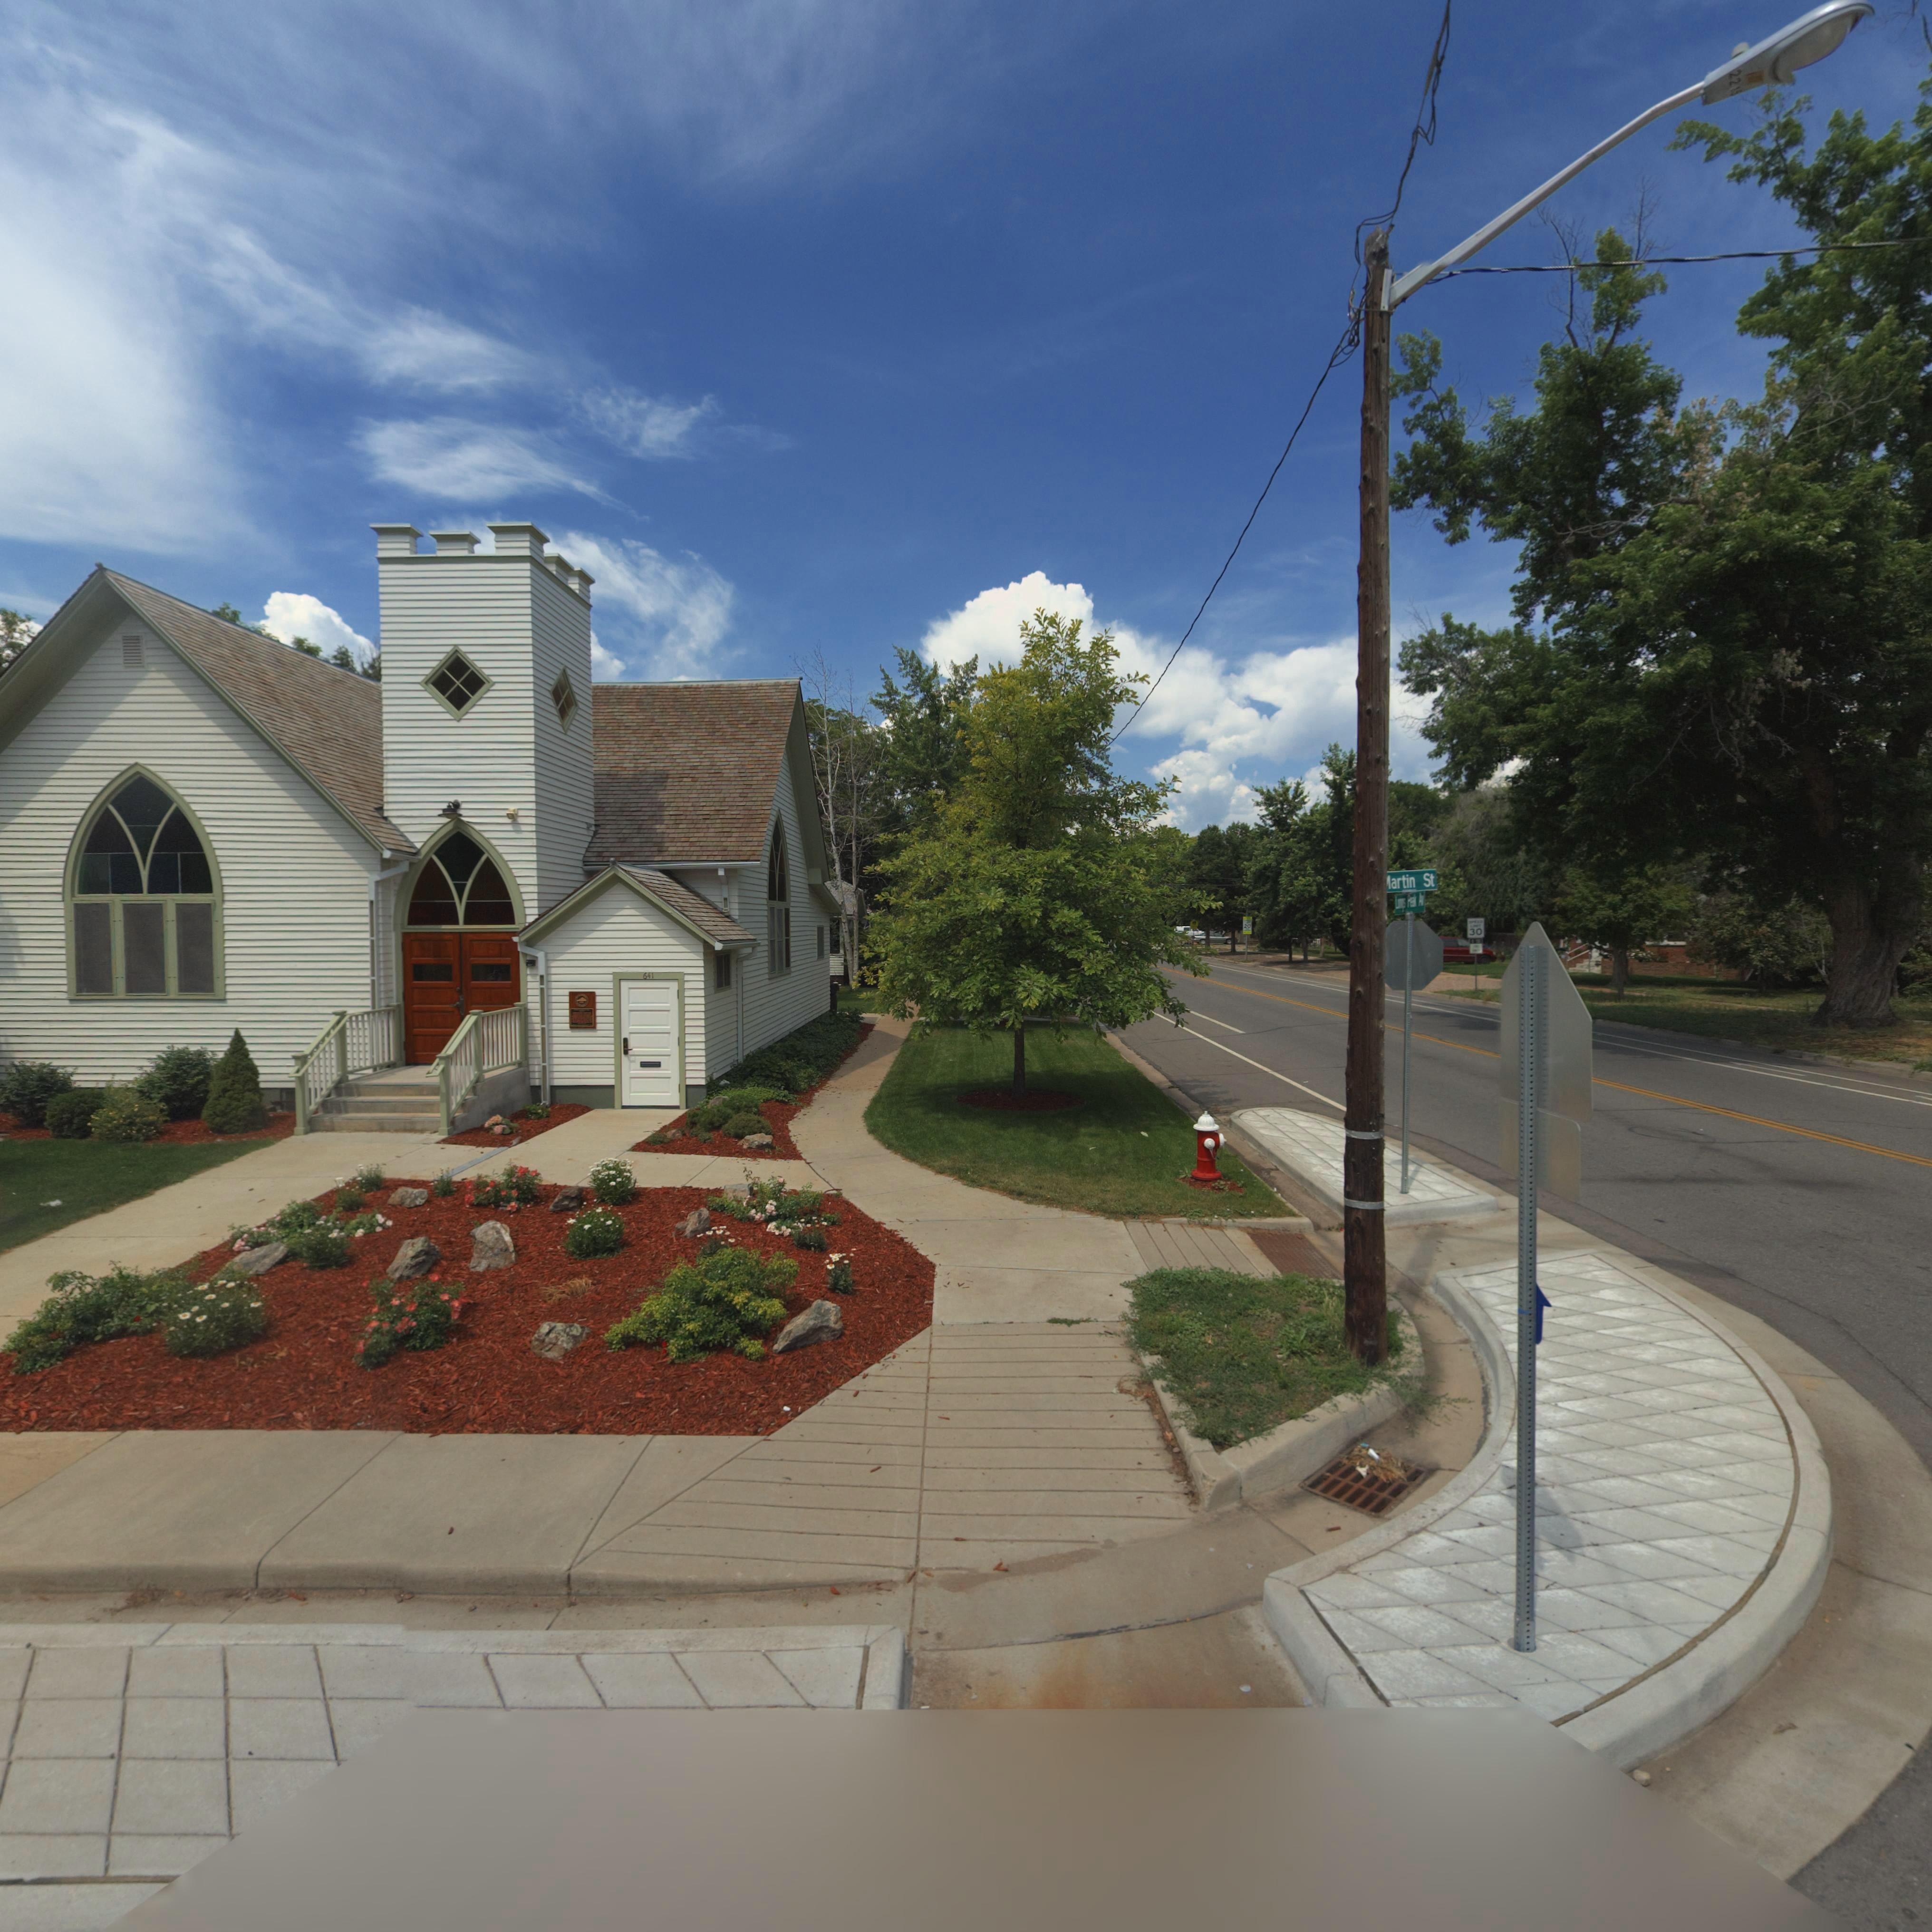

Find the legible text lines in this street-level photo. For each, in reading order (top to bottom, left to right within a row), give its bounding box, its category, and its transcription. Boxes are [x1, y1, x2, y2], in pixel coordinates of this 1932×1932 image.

[1385, 873, 1435, 890] StreetName: *artin St
[1394, 892, 1424, 913] StreetName: L**gs Peak Av
[642, 972, 653, 979] StreetNumber: 641